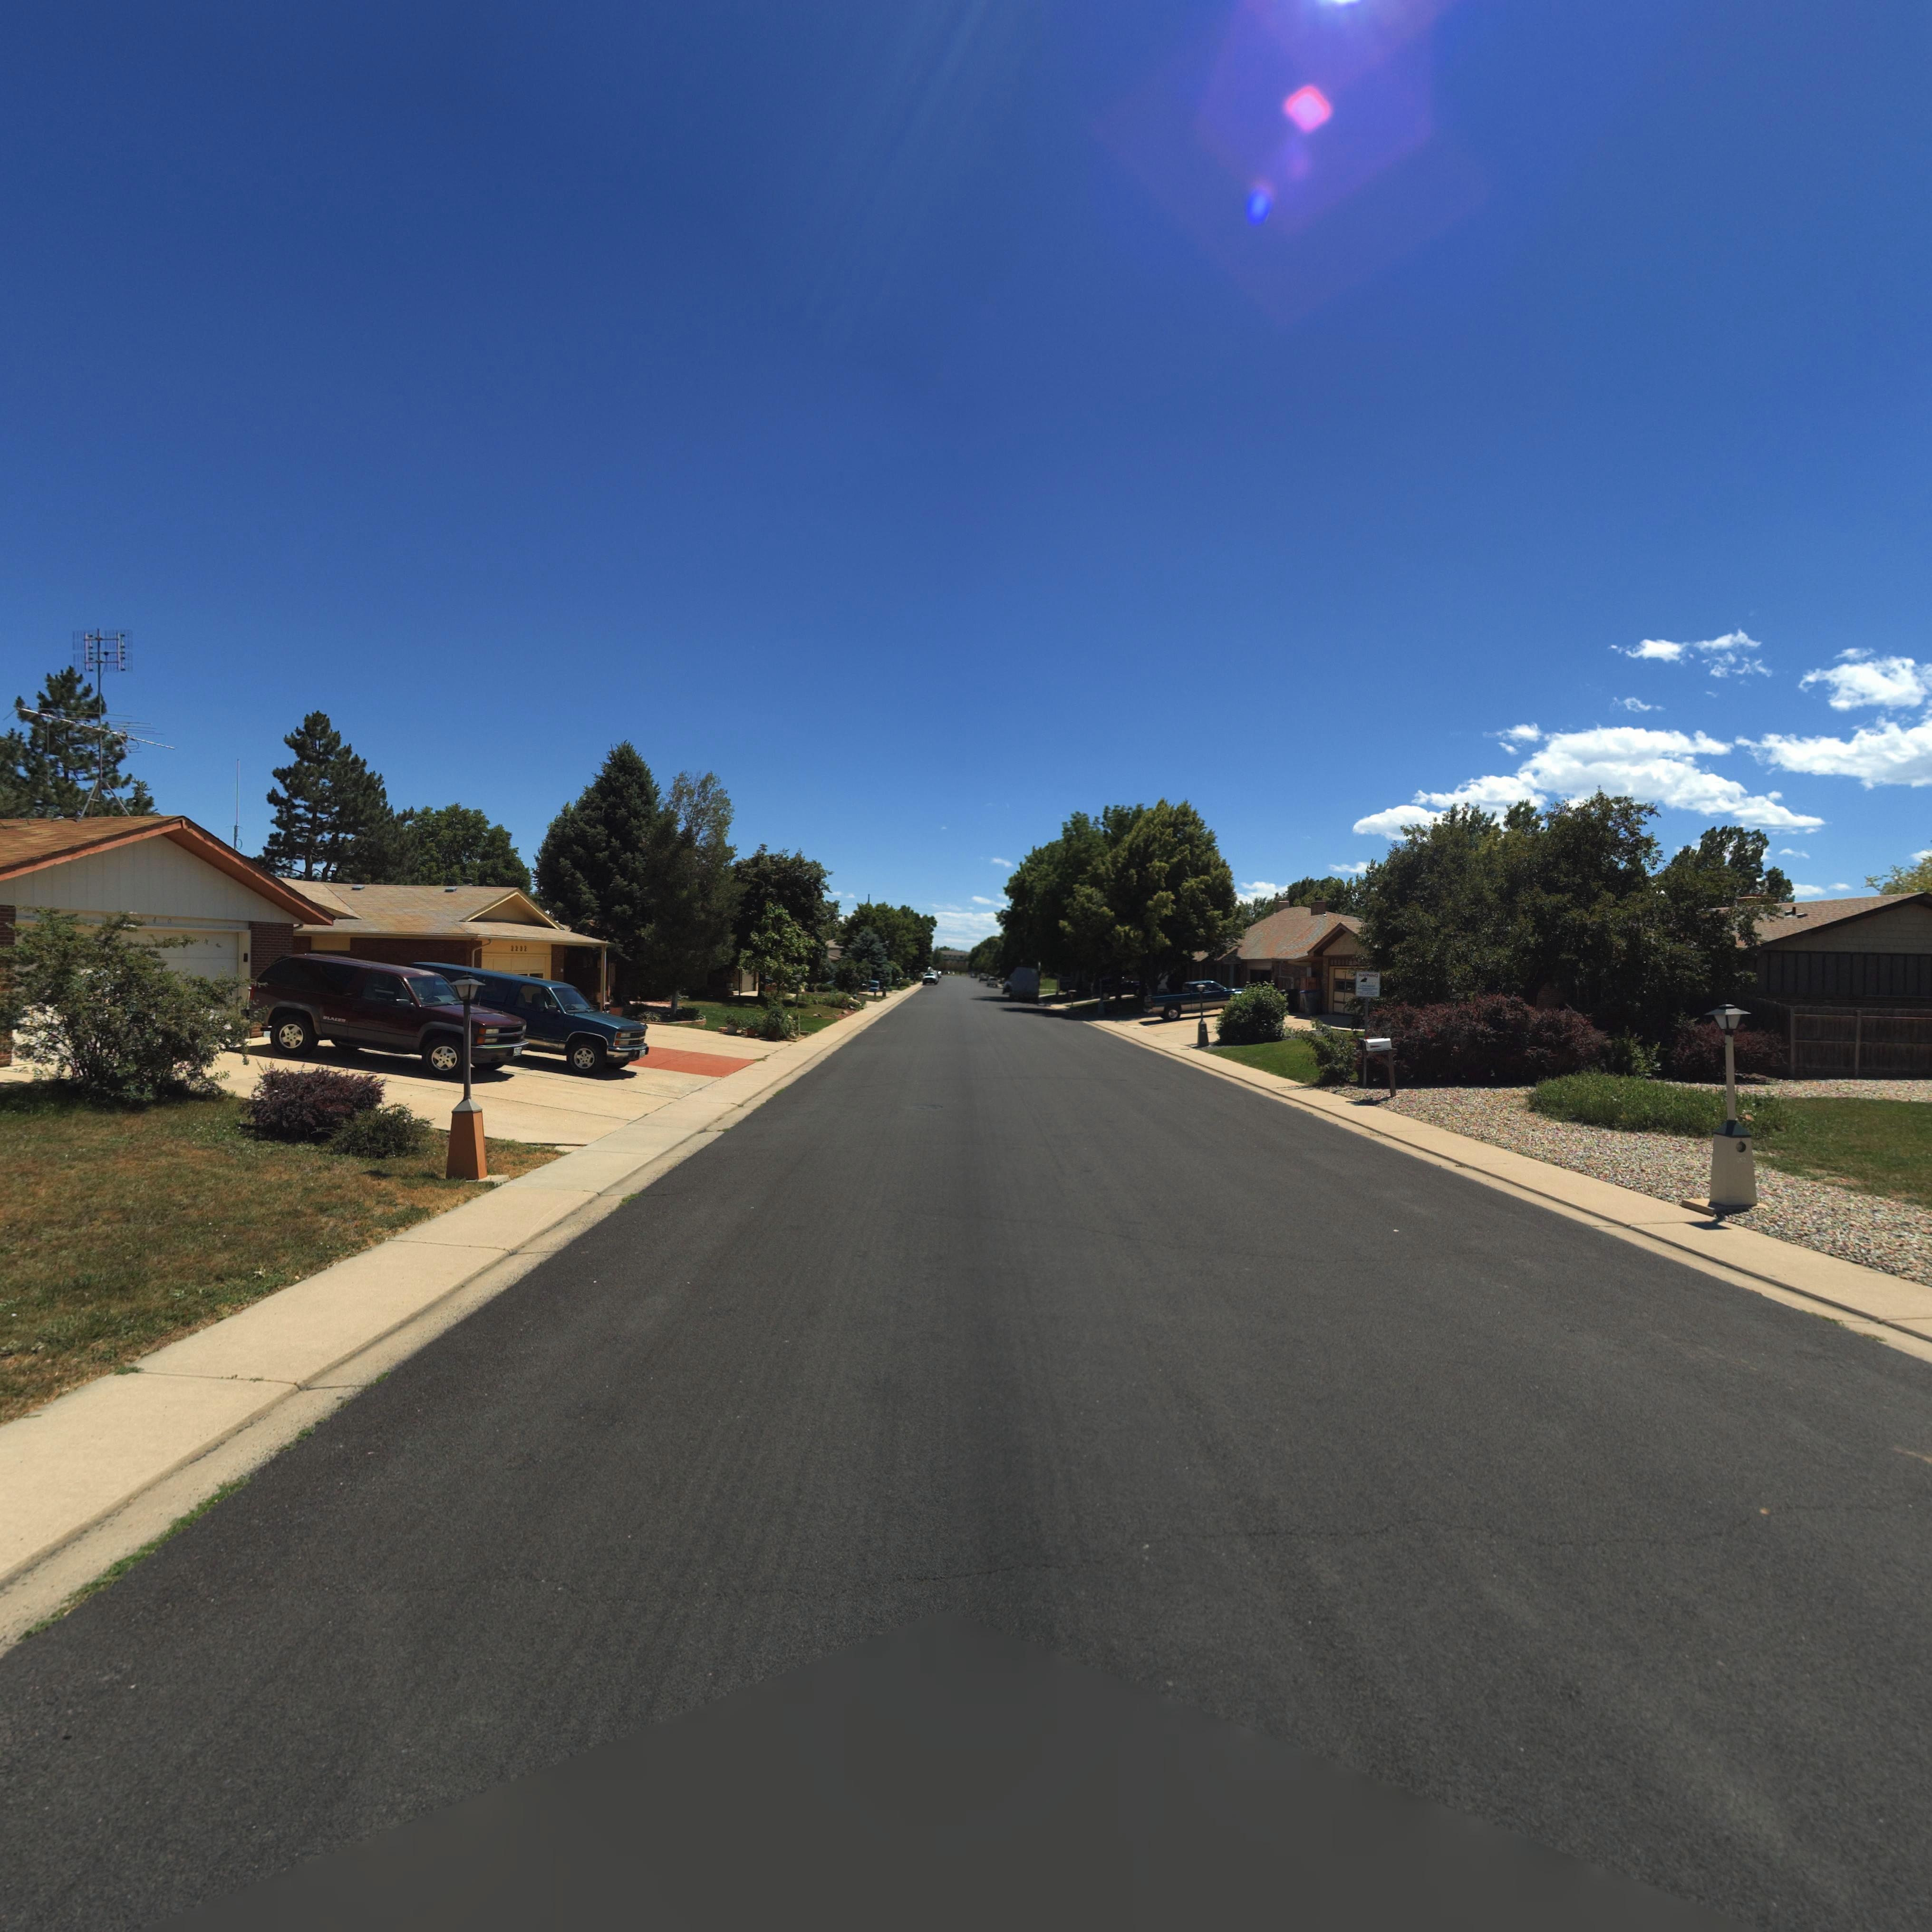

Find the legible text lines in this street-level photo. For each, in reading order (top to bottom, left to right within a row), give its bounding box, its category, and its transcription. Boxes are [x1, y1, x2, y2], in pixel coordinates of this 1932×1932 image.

[510, 945, 528, 952] StreetNumber: 2232